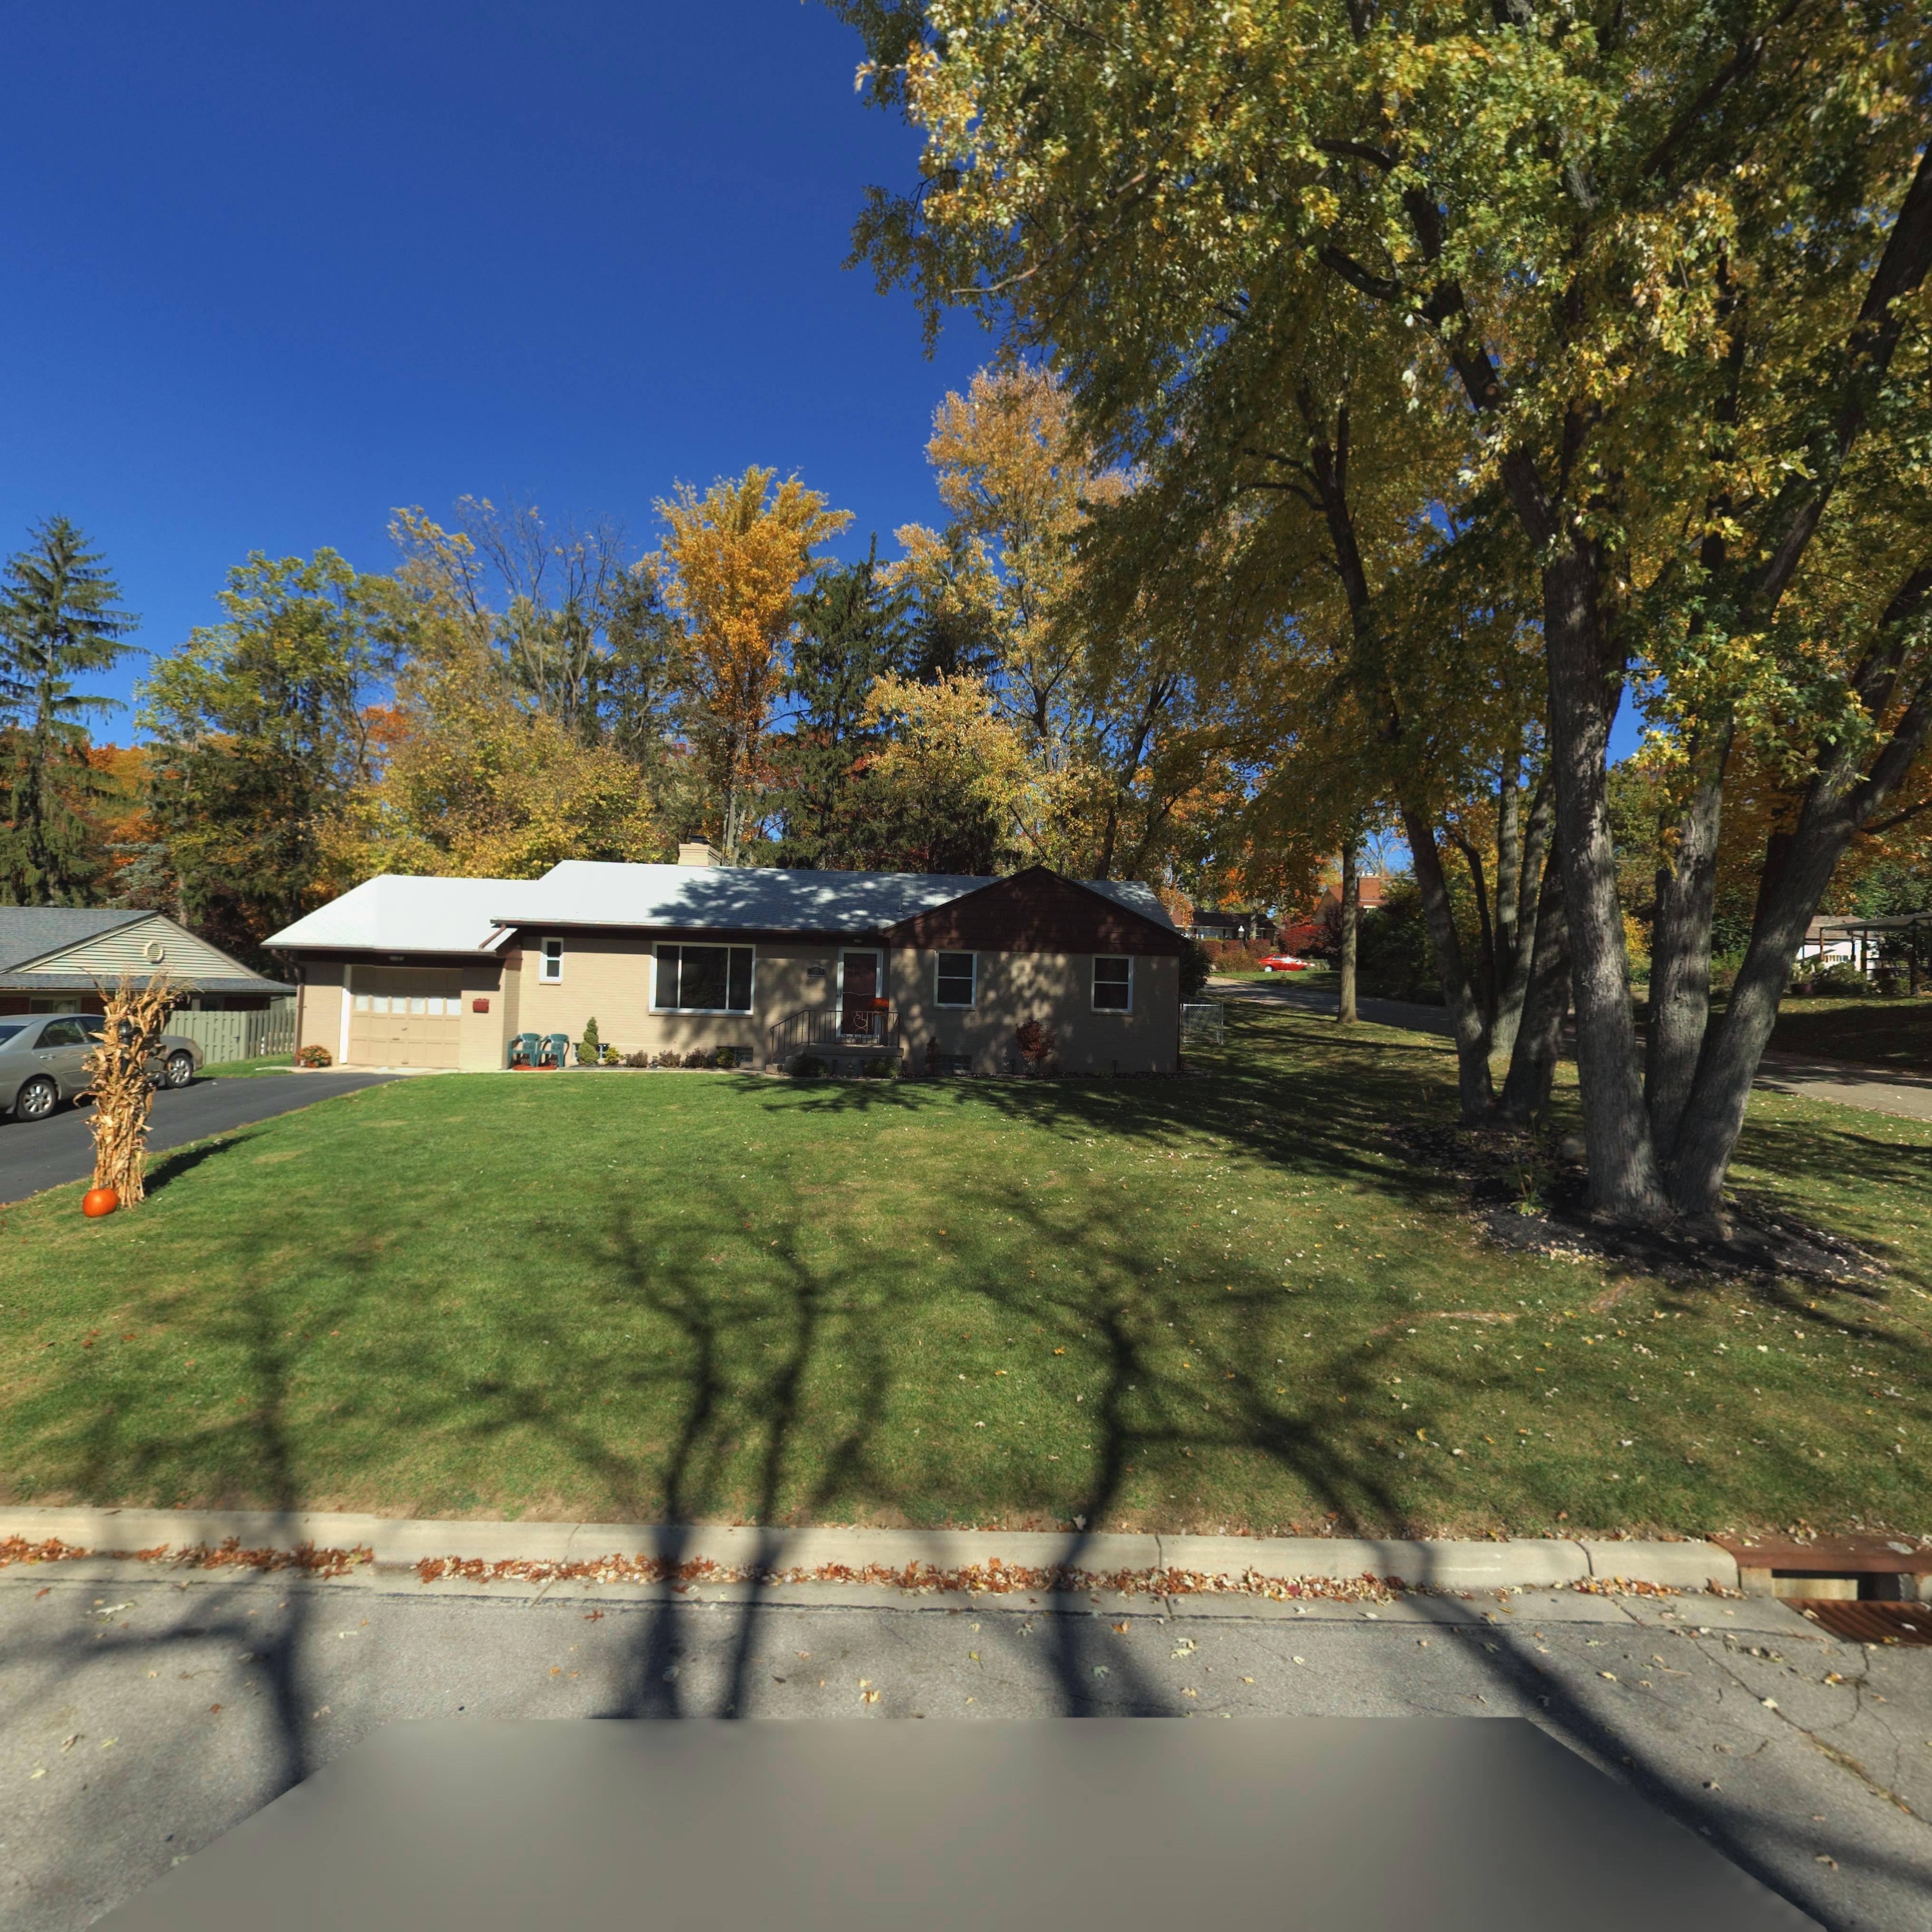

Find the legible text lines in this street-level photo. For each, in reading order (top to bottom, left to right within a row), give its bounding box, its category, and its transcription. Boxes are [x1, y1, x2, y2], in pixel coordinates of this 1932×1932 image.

[809, 968, 823, 975] StreetNumber: 203